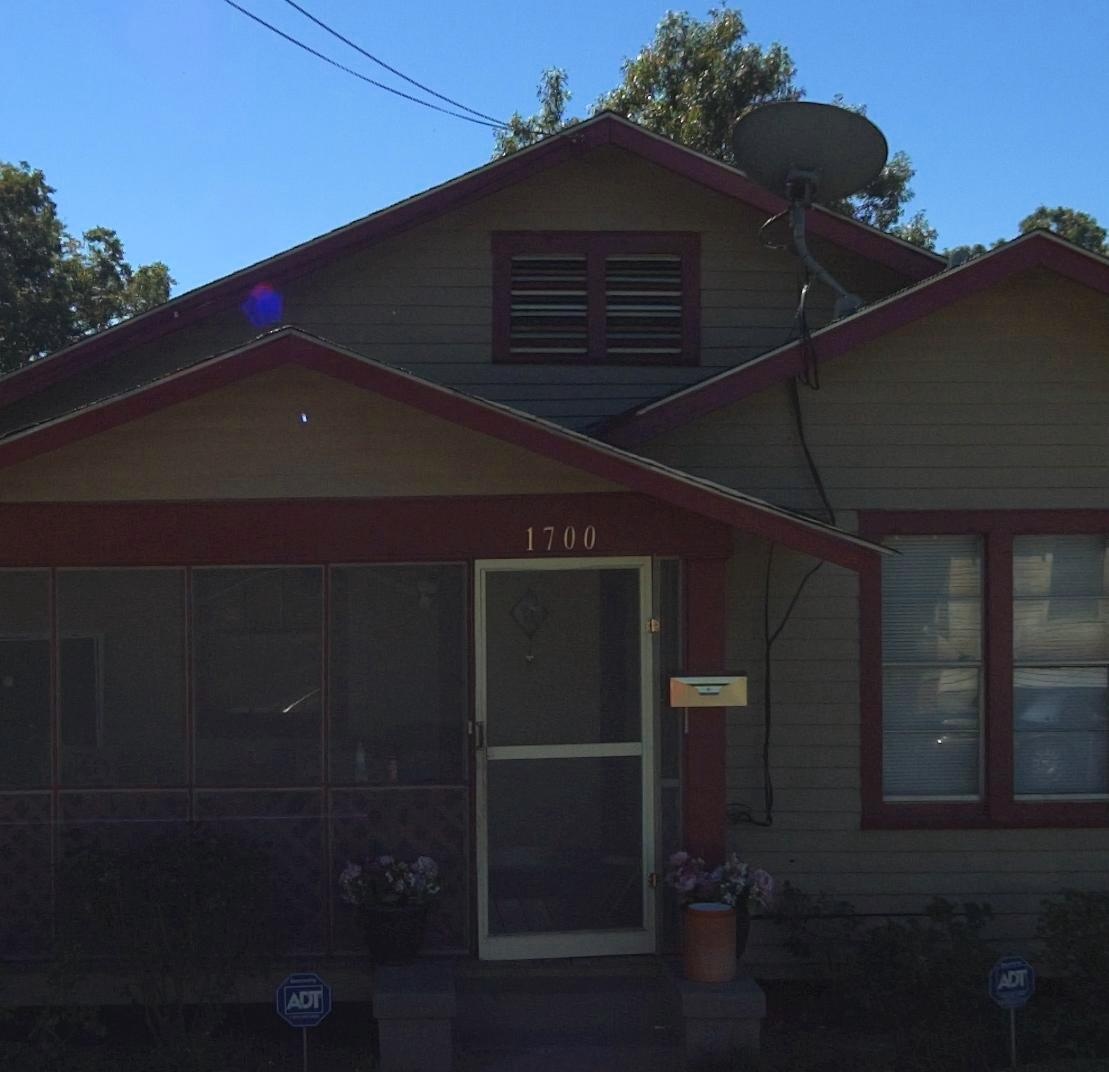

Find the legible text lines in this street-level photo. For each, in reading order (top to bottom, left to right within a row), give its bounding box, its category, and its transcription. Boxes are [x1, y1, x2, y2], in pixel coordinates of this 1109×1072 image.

[524, 523, 598, 554] StreetNumber: 1700
[993, 966, 1030, 993] None: ADT
[283, 988, 325, 1013] None: ADT